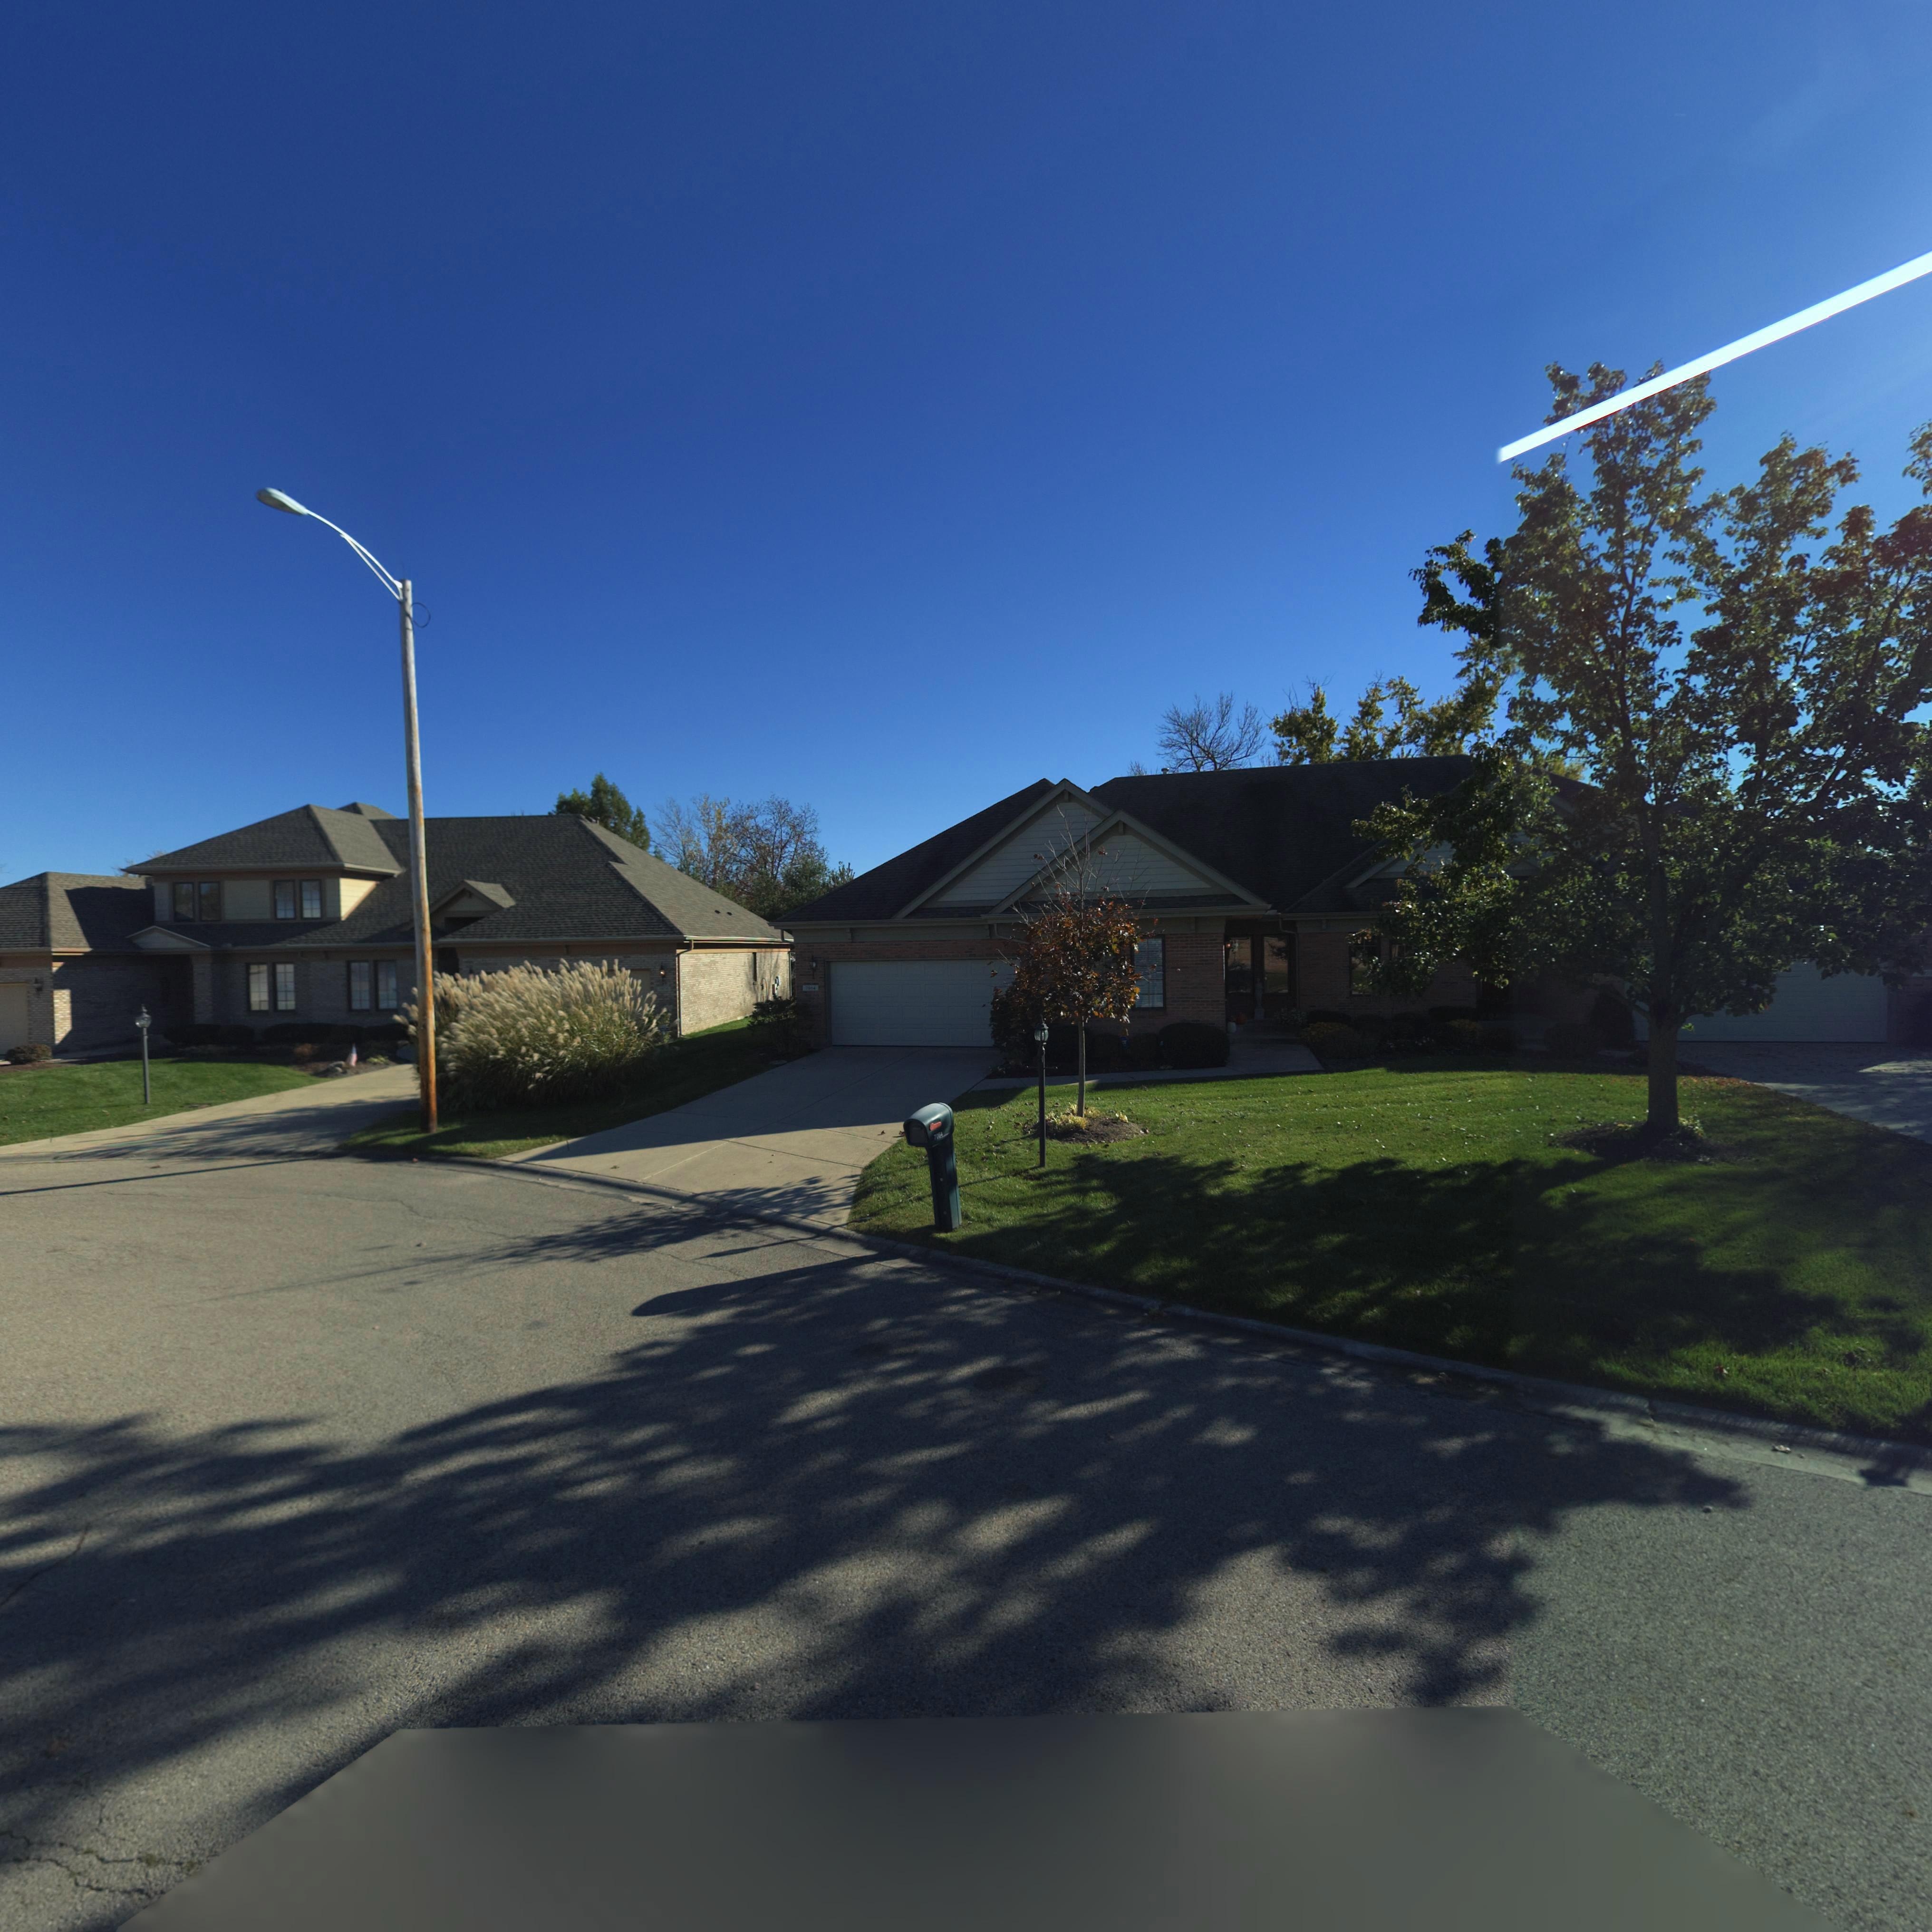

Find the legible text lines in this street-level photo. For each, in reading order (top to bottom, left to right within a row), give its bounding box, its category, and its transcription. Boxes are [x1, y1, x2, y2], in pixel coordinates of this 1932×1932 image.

[933, 1131, 944, 1140] StreetNumber: 7064